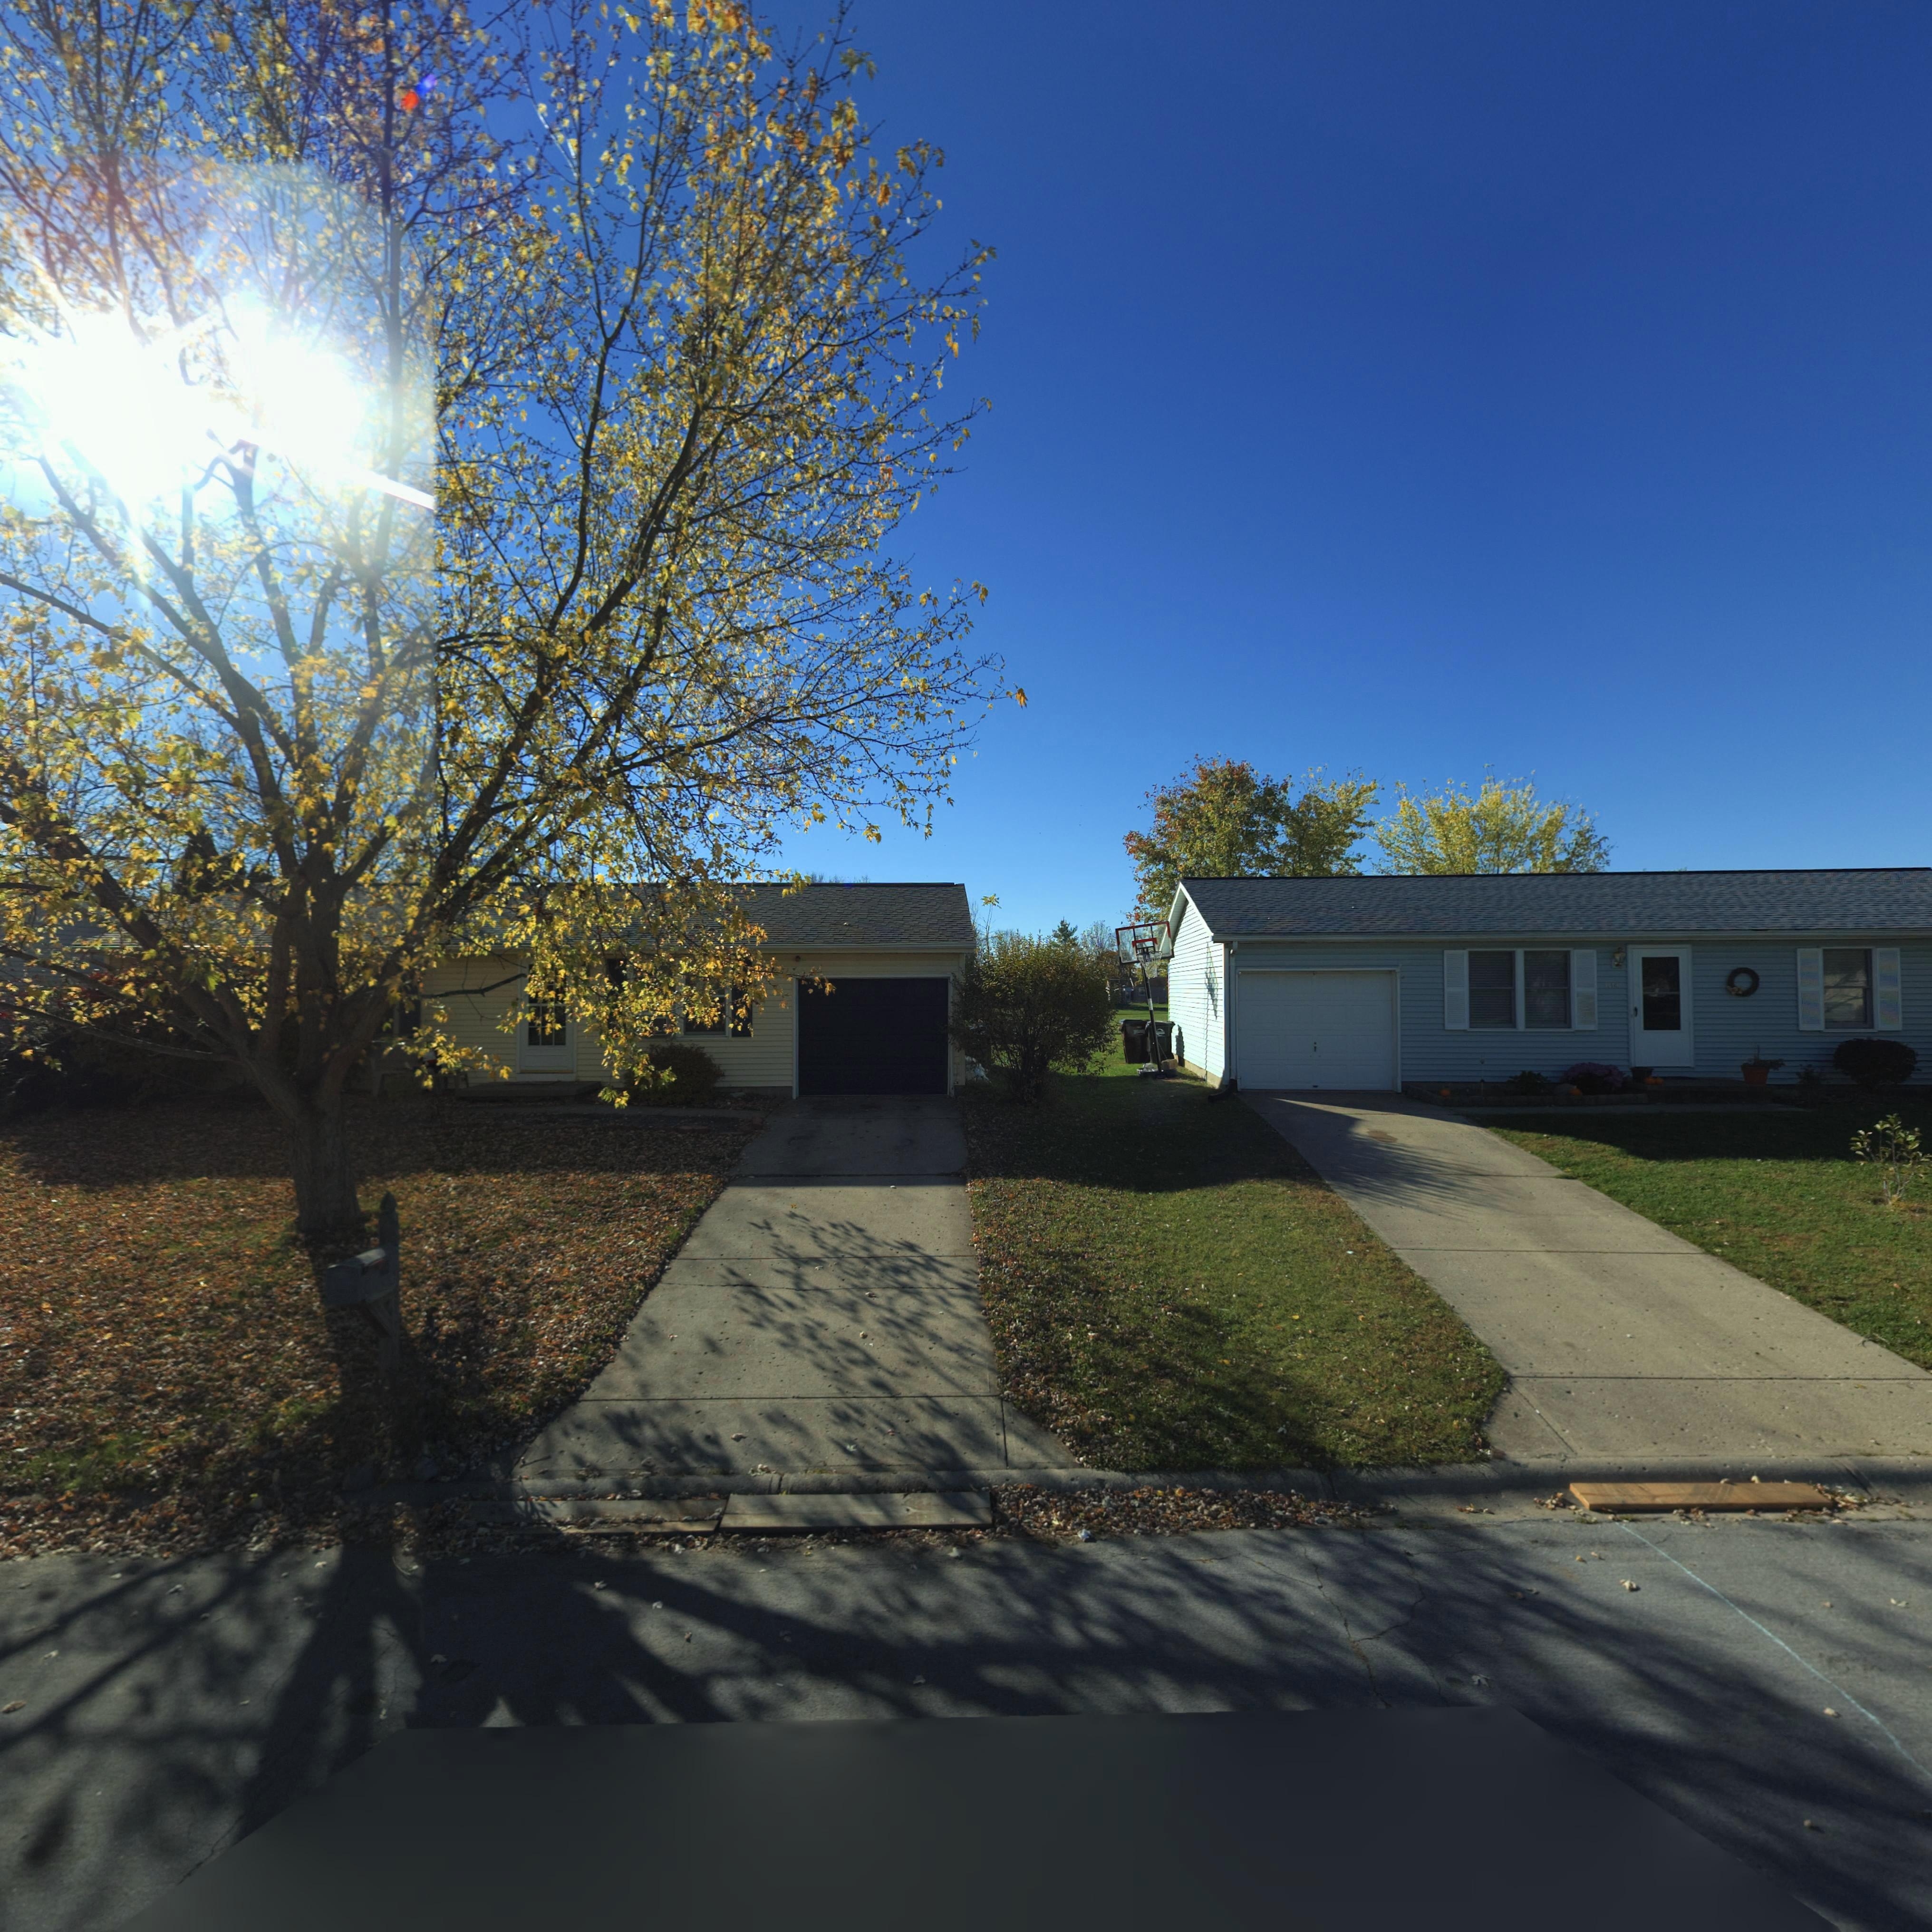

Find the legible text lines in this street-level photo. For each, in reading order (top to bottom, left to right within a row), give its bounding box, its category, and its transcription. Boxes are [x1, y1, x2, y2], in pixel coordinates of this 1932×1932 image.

[1603, 982, 1618, 989] StreetNumber: 104